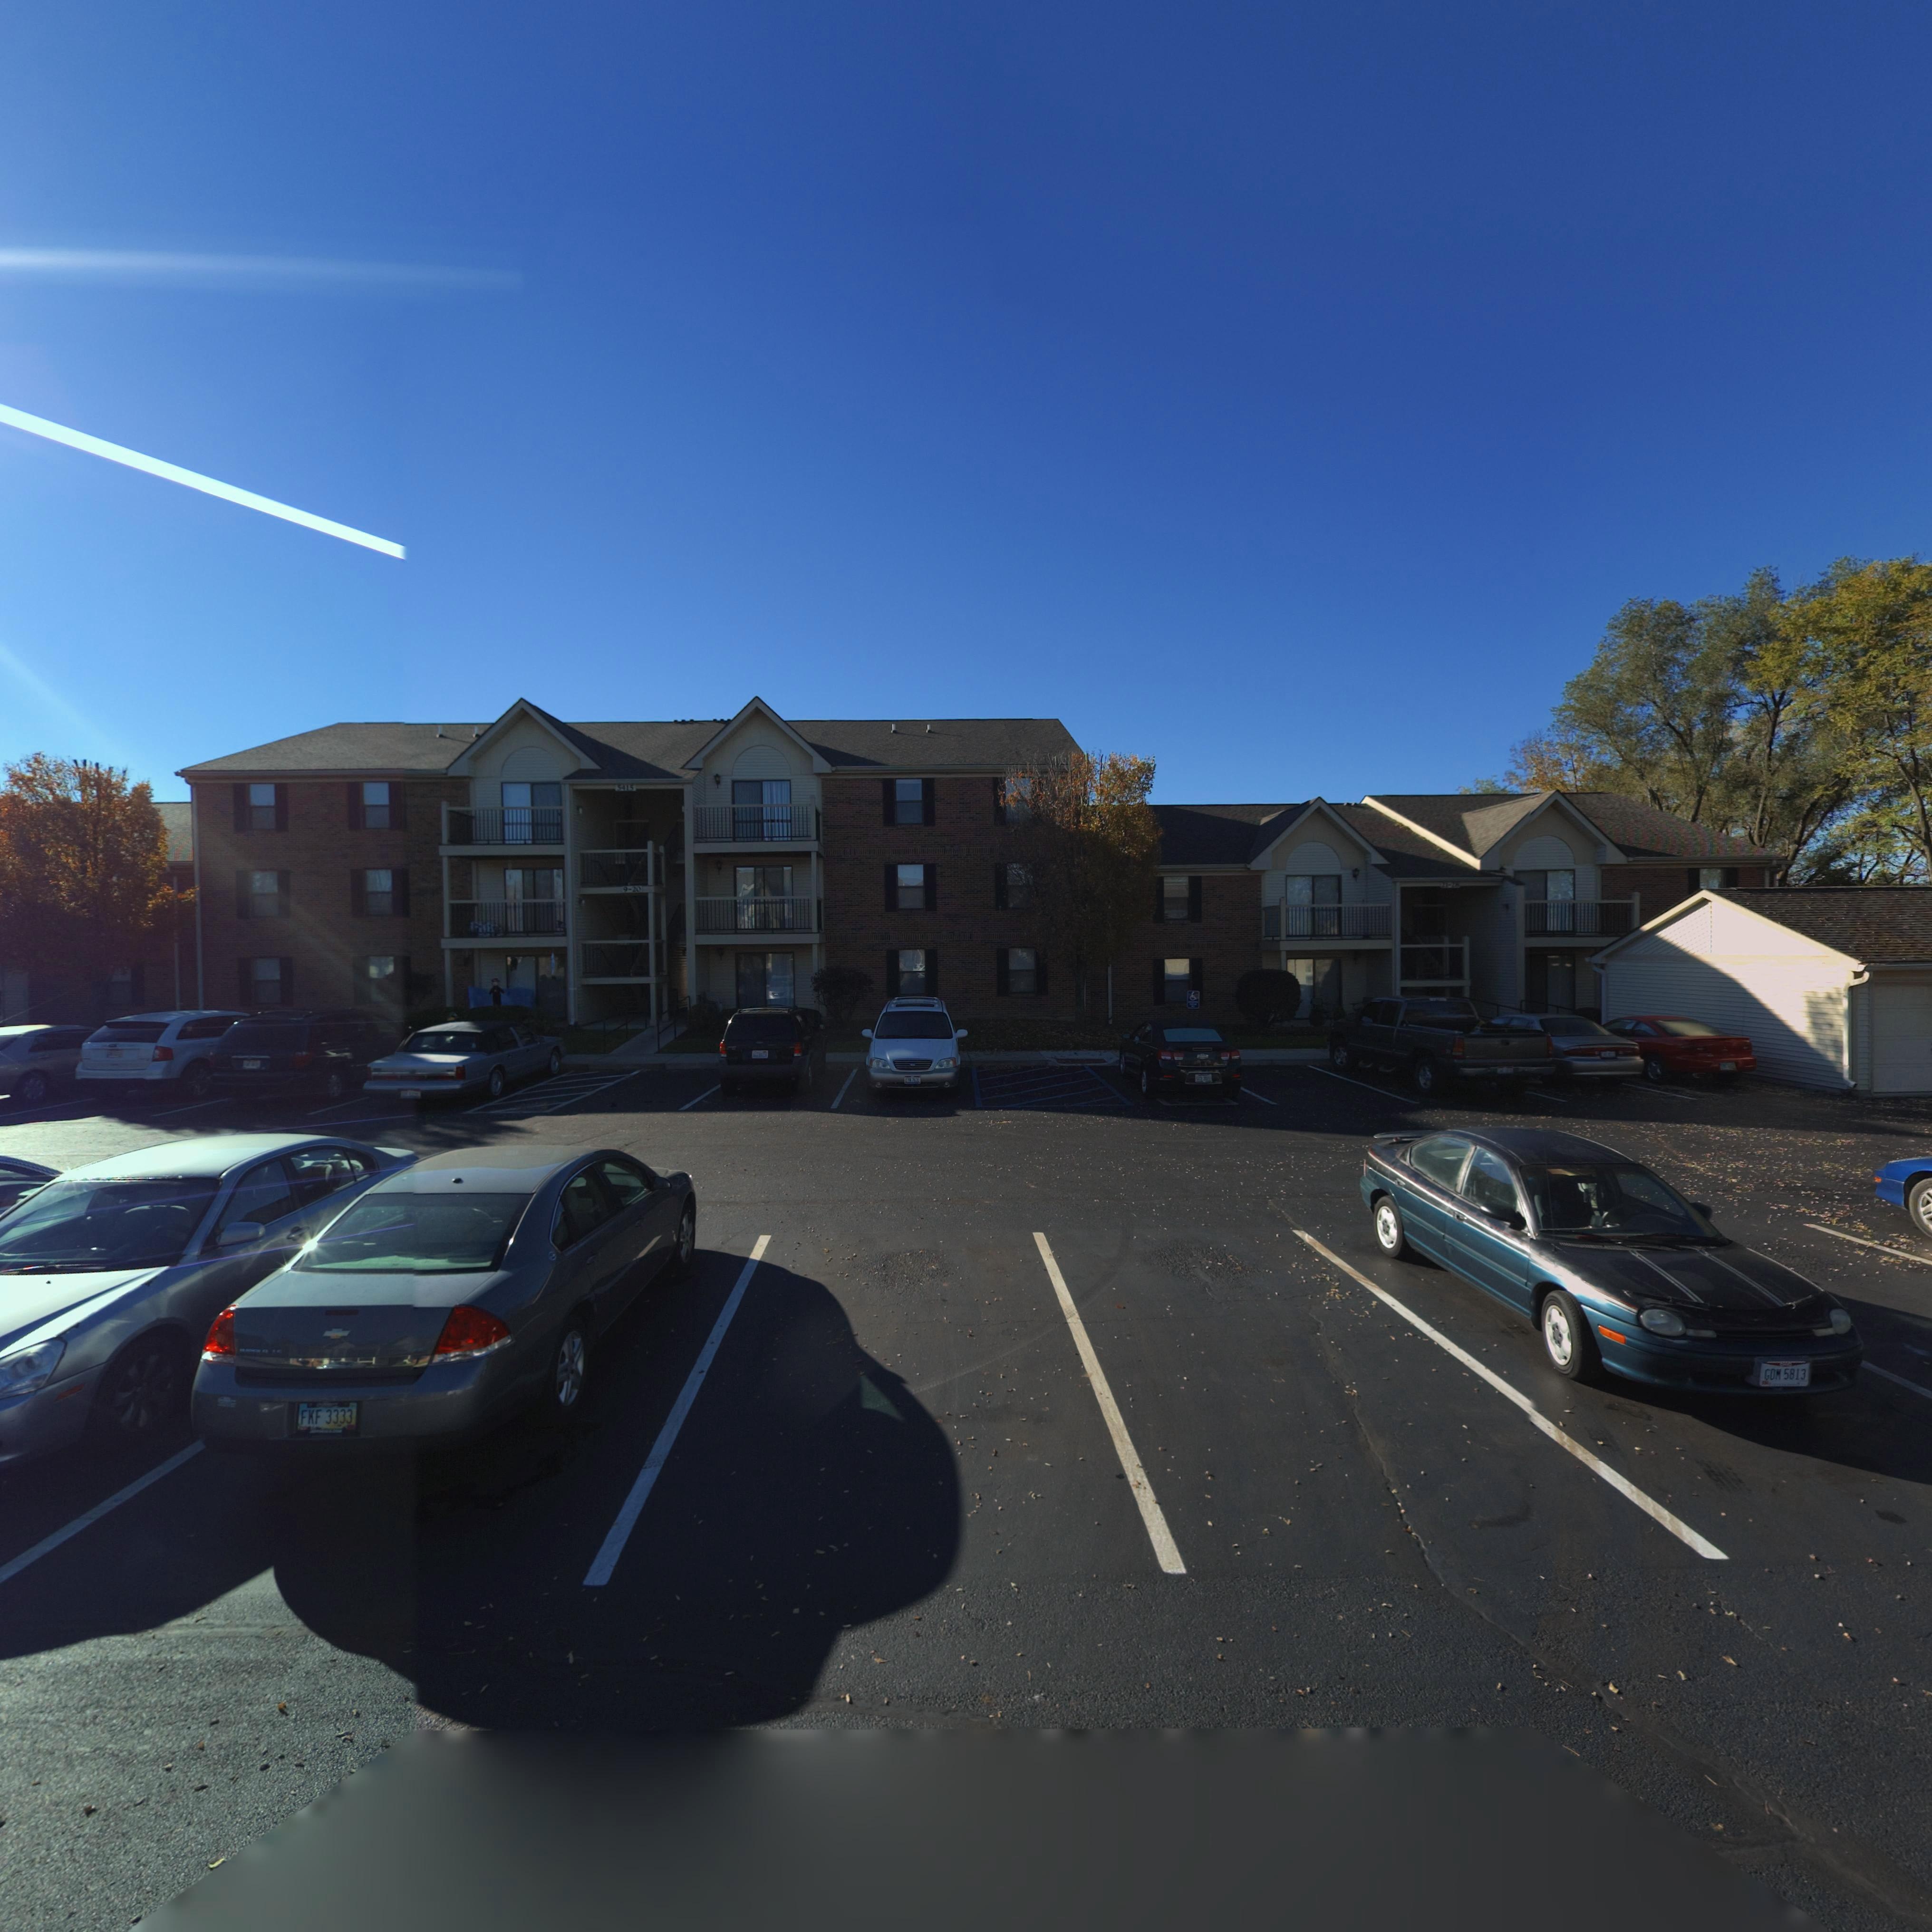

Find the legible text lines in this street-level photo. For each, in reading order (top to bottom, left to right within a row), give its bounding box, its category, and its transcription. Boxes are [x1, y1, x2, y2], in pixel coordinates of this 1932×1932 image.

[616, 784, 635, 791] StreetNumber: 5415
[1440, 880, 1459, 888] StreetNumber: 21-28
[623, 885, 642, 893] StreetNumber: 9-20